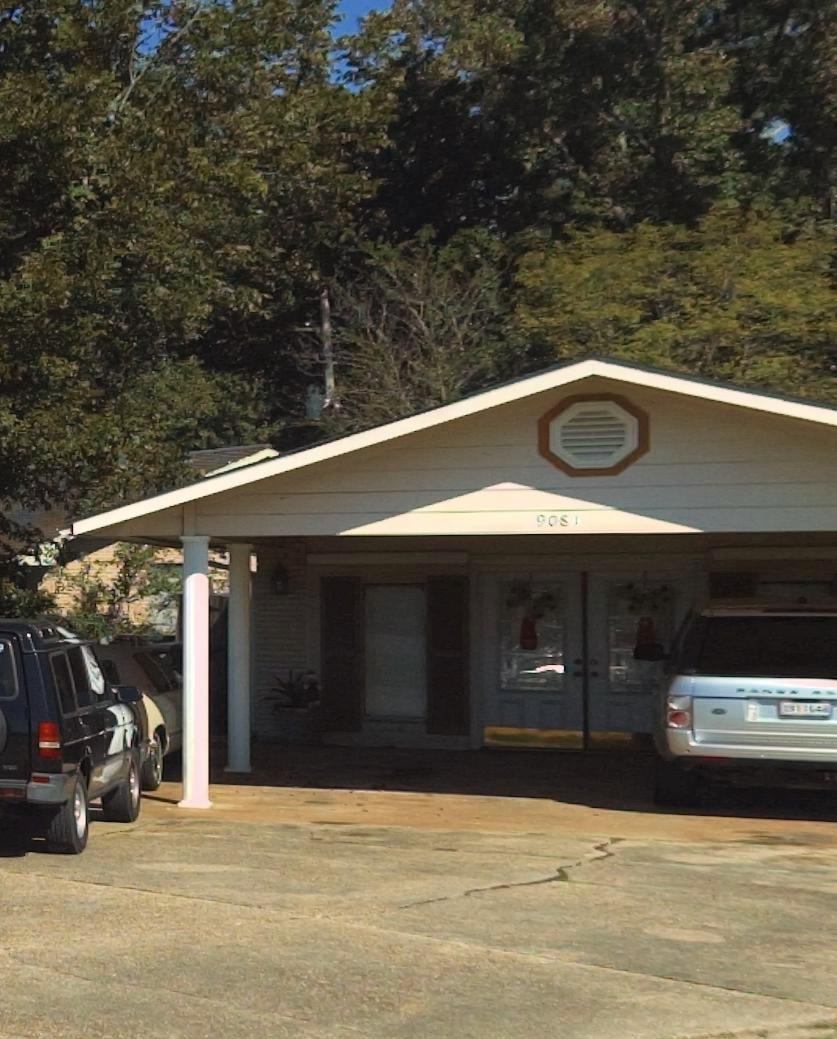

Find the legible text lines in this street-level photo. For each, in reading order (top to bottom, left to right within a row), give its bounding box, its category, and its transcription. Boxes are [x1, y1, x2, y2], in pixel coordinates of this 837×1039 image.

[534, 512, 580, 529] StreetNumber: 9081